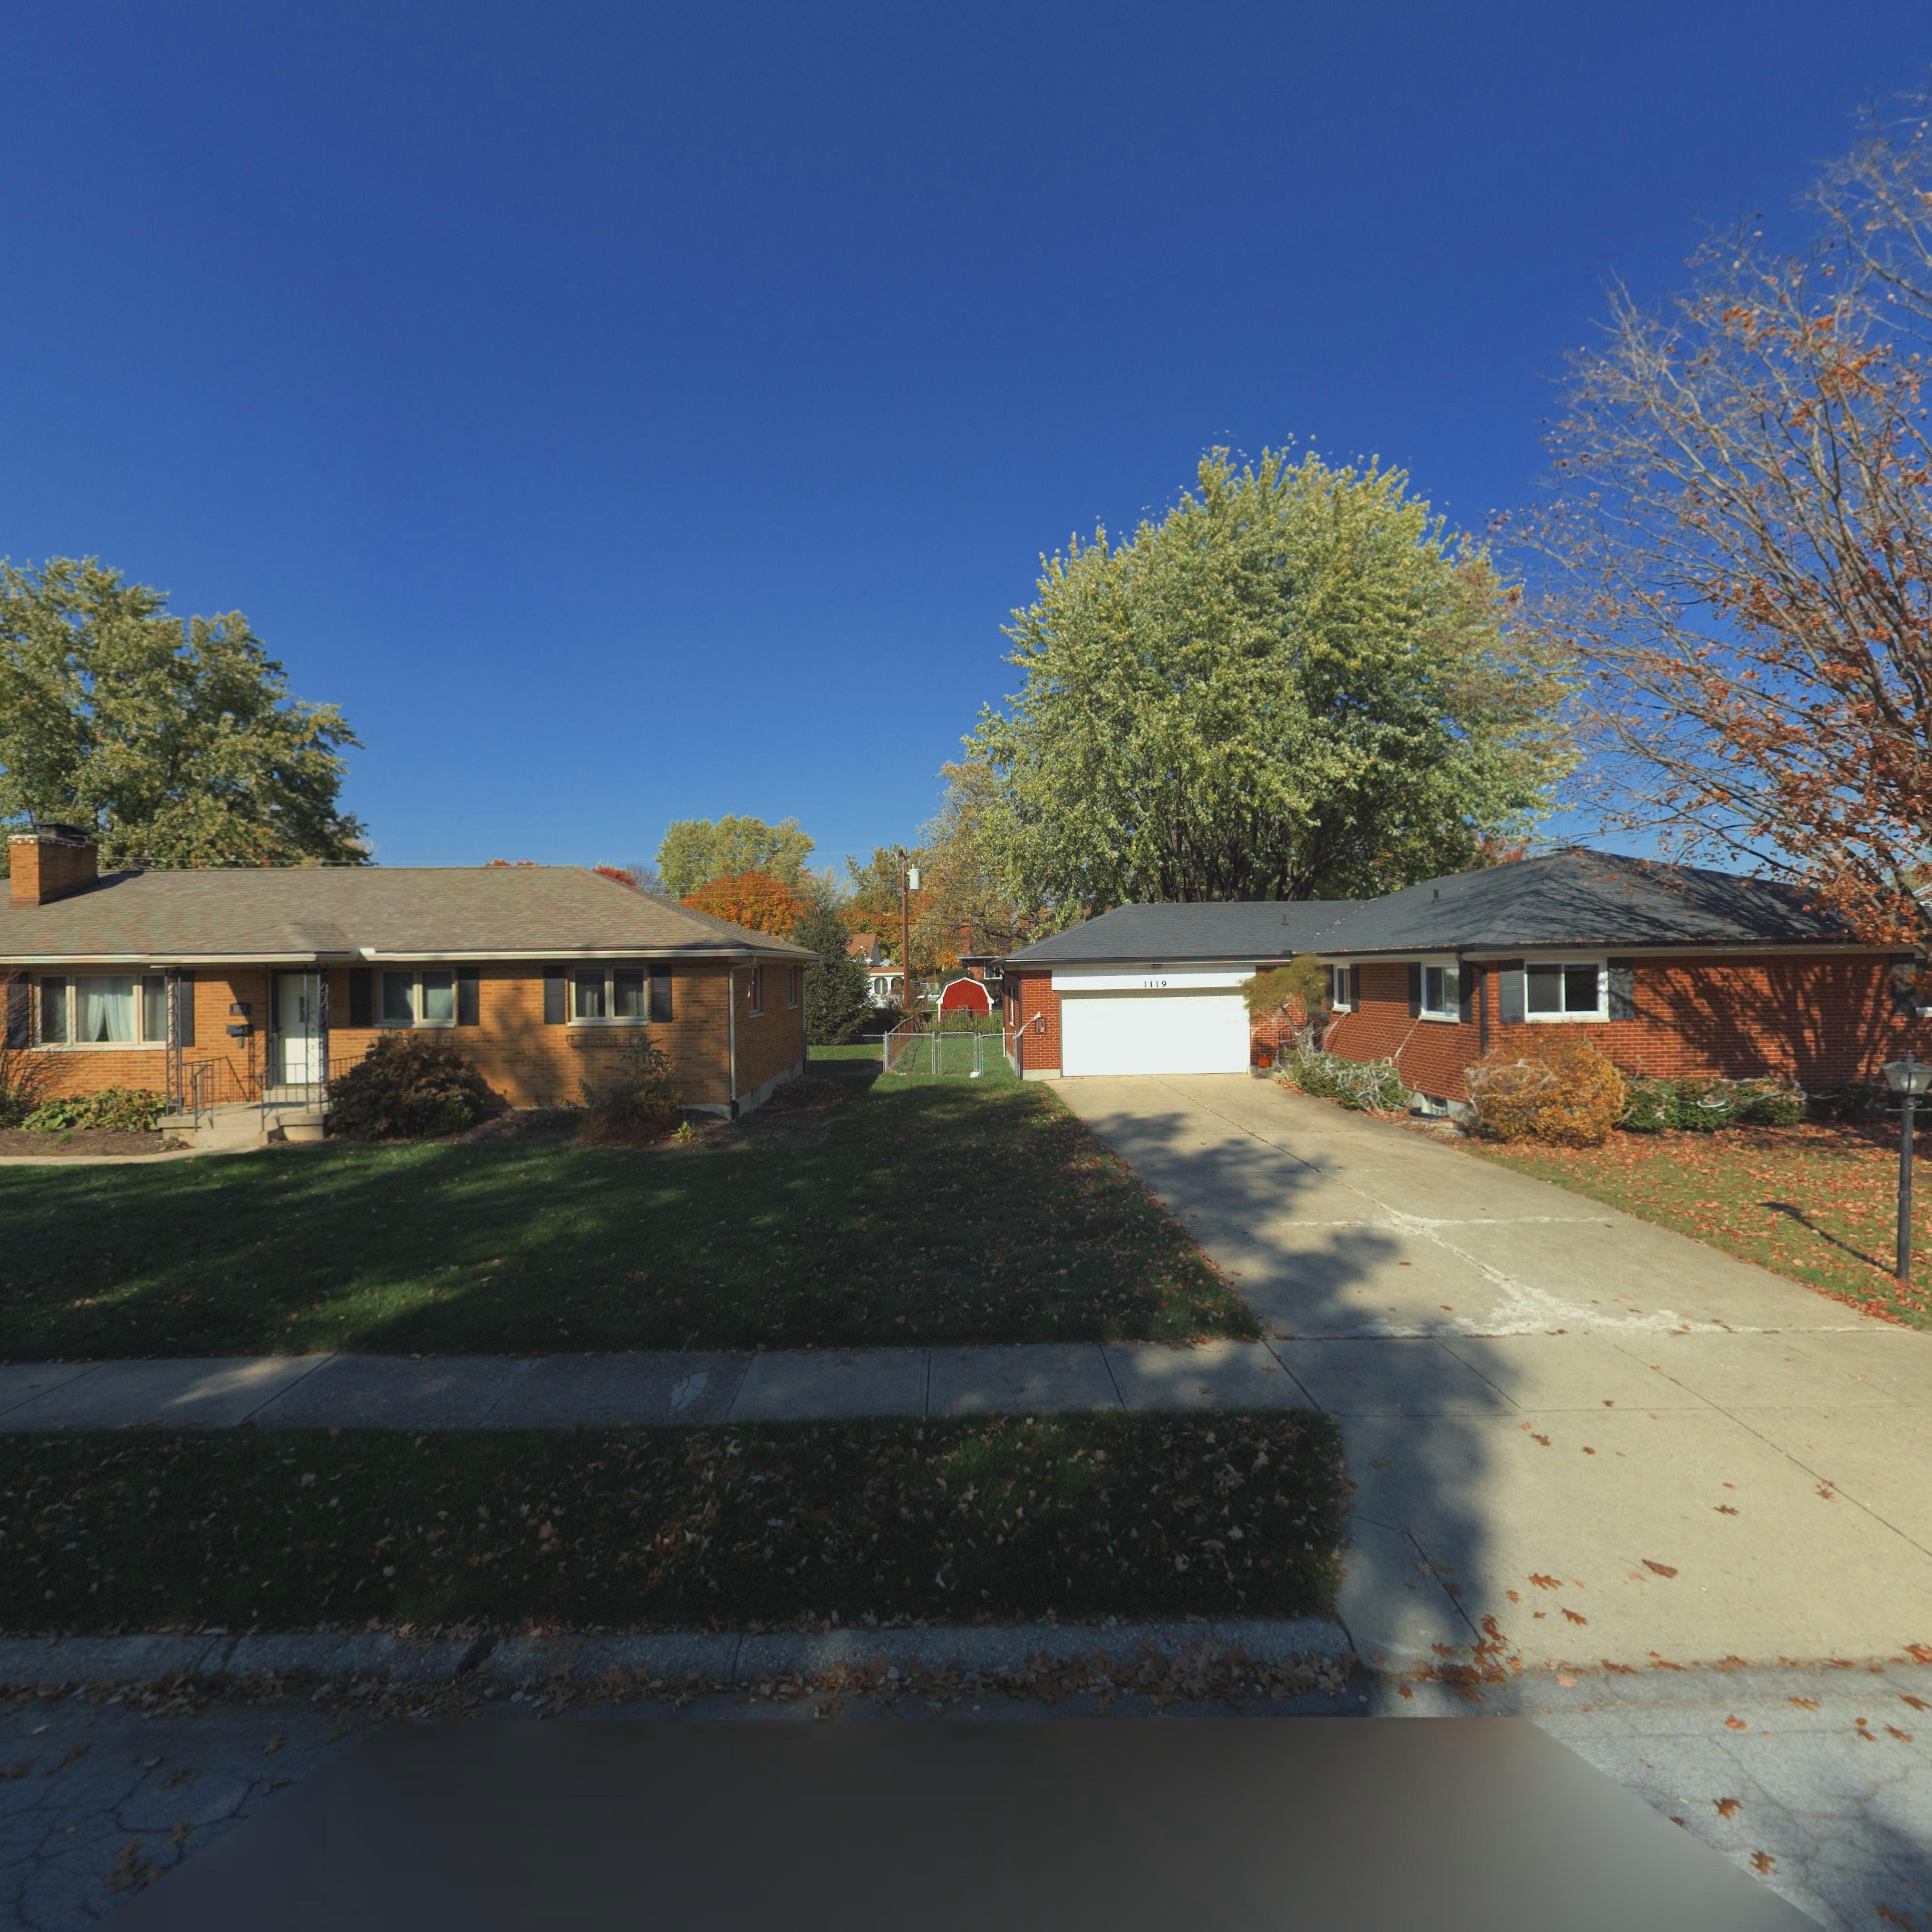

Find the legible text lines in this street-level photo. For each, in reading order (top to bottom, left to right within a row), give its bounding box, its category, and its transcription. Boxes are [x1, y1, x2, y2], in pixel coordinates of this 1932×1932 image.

[1143, 979, 1167, 988] StreetNumber: 1119
[233, 1004, 247, 1013] StreetNumber: 1113